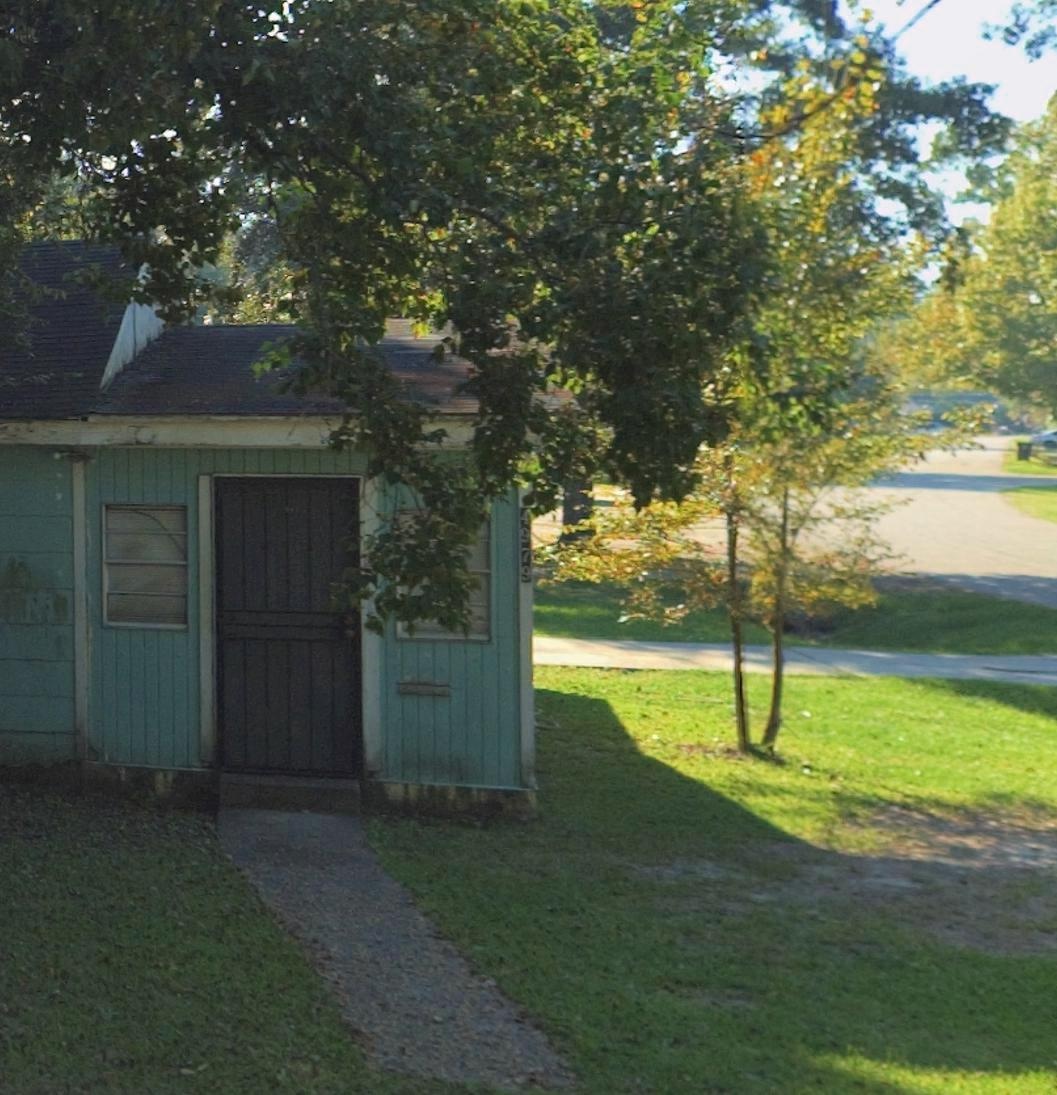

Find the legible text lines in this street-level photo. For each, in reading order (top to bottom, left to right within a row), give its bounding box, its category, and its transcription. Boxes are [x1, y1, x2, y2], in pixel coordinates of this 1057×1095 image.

[520, 509, 531, 582] StreetNumber: 4979